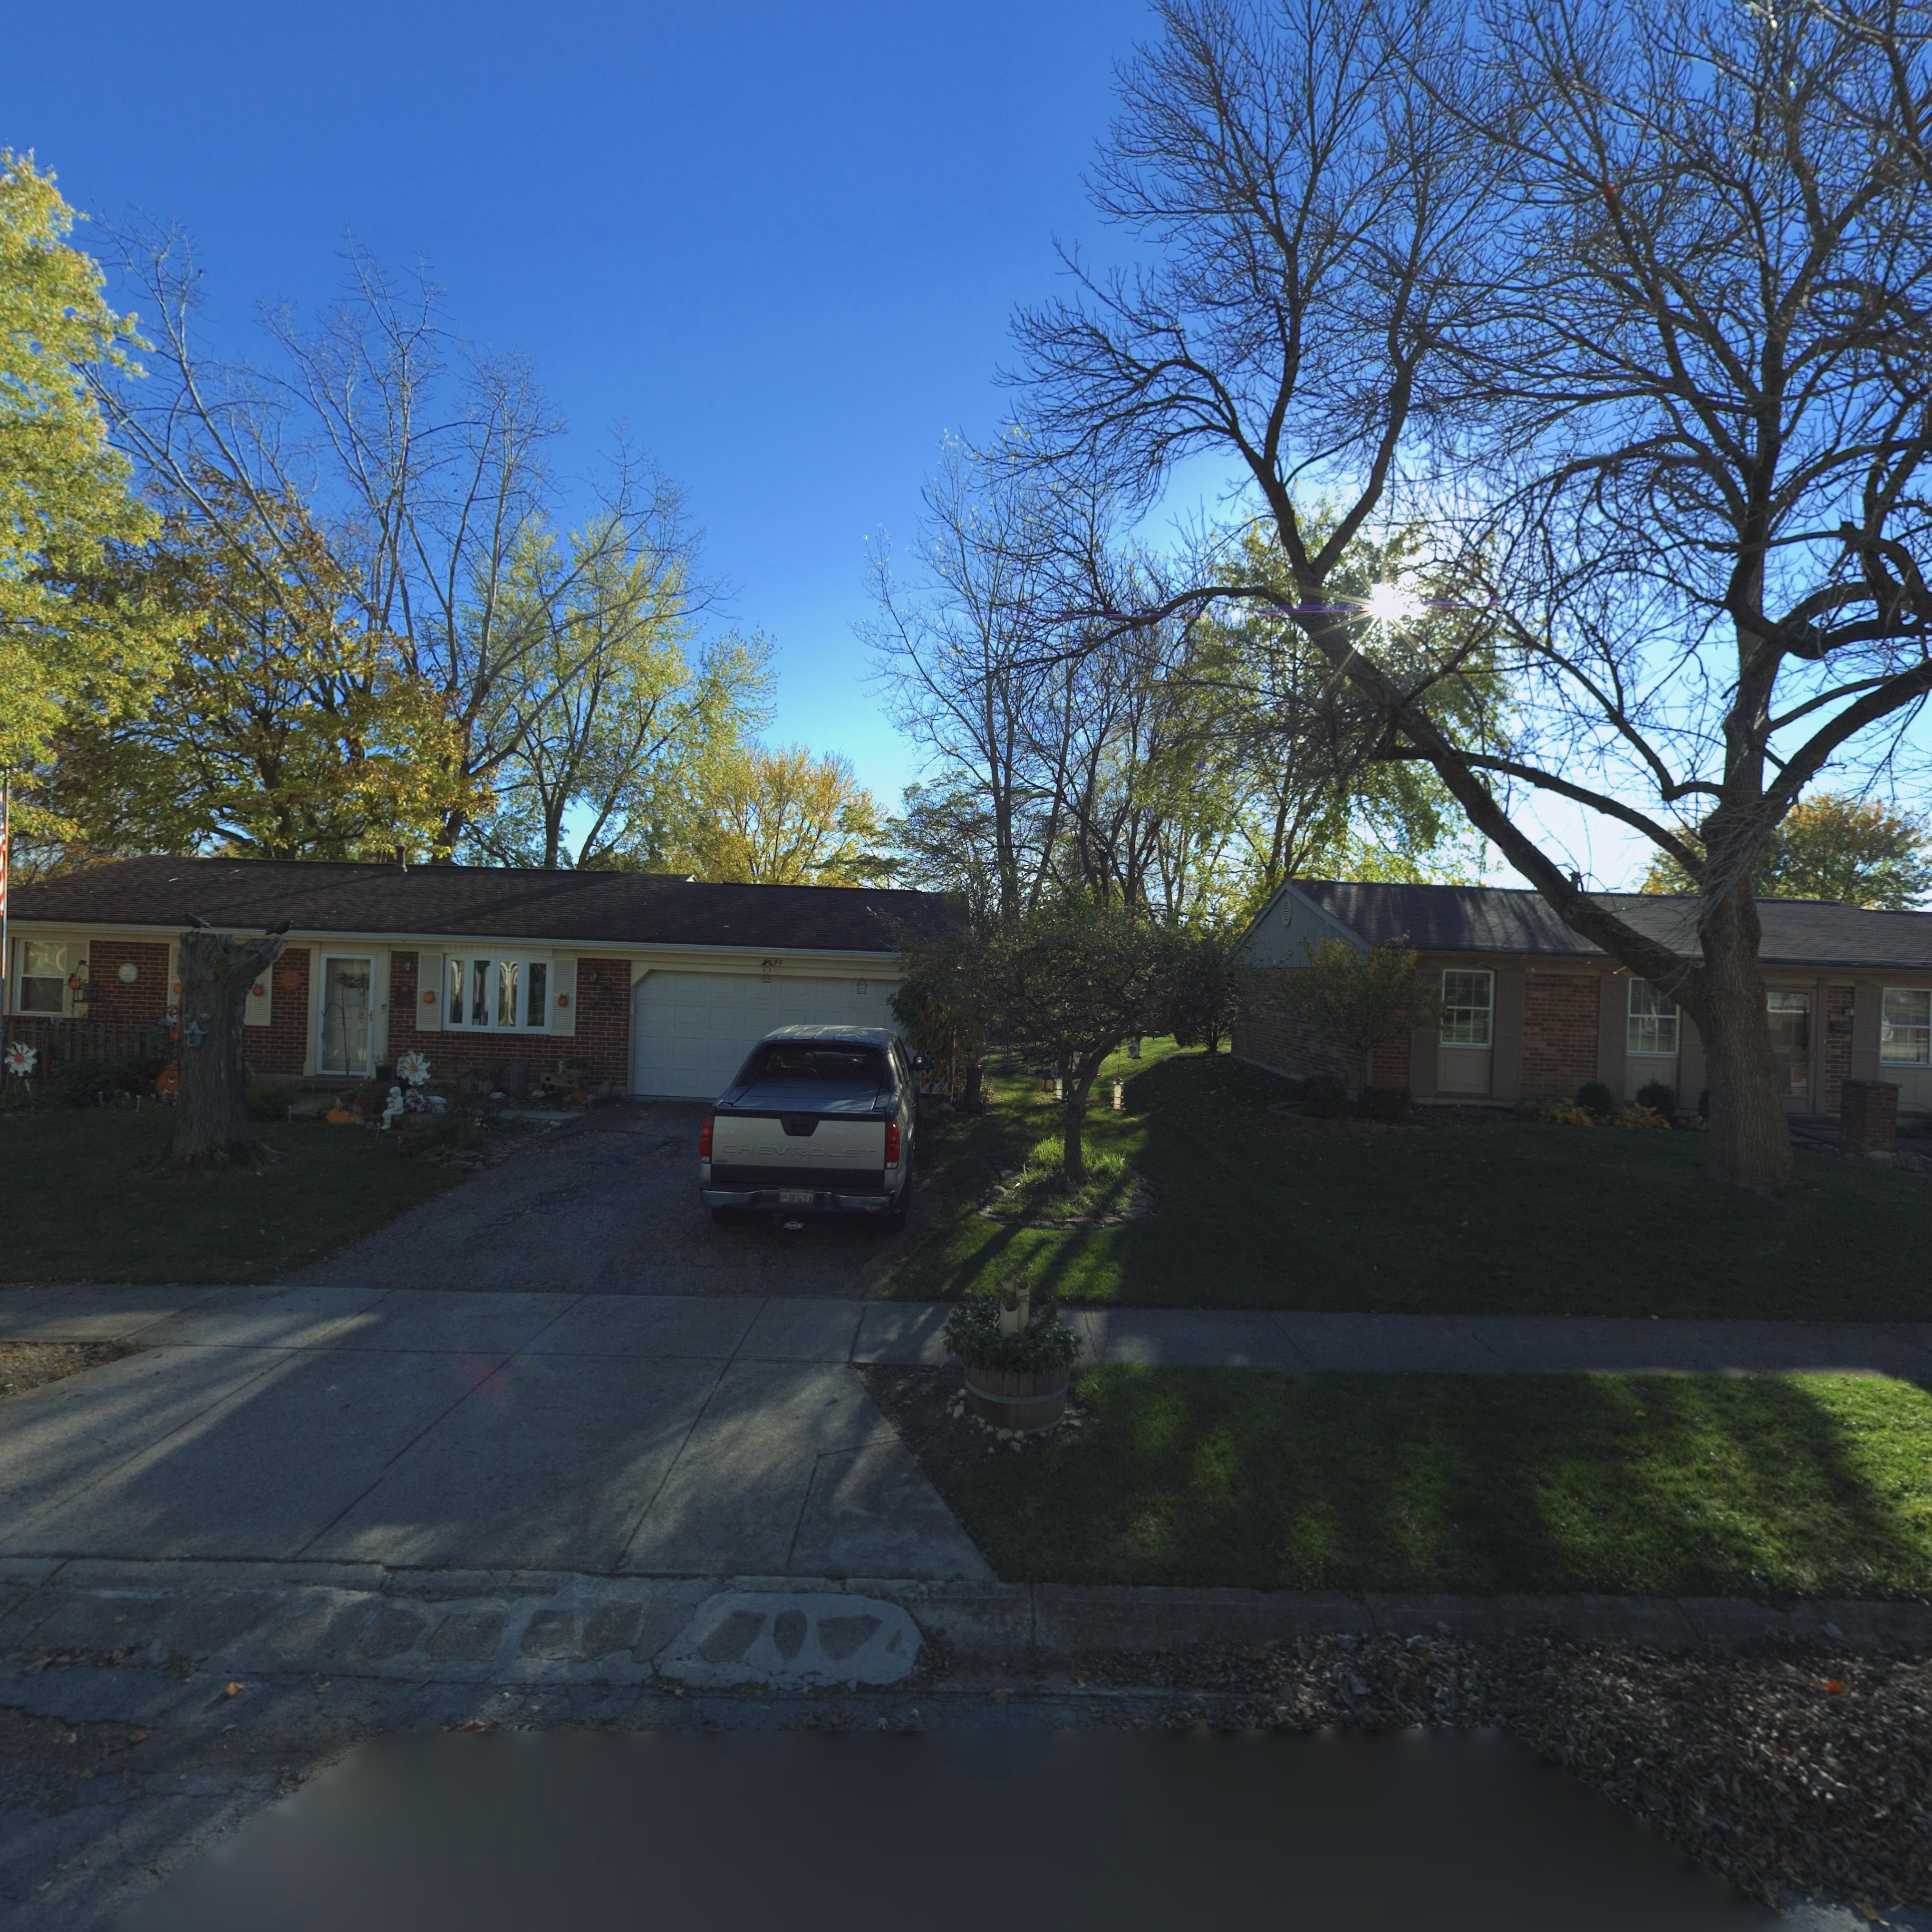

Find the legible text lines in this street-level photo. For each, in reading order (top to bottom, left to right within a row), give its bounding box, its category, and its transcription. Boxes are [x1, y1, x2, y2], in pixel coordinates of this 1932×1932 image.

[773, 958, 783, 966] StreetNumber: 48